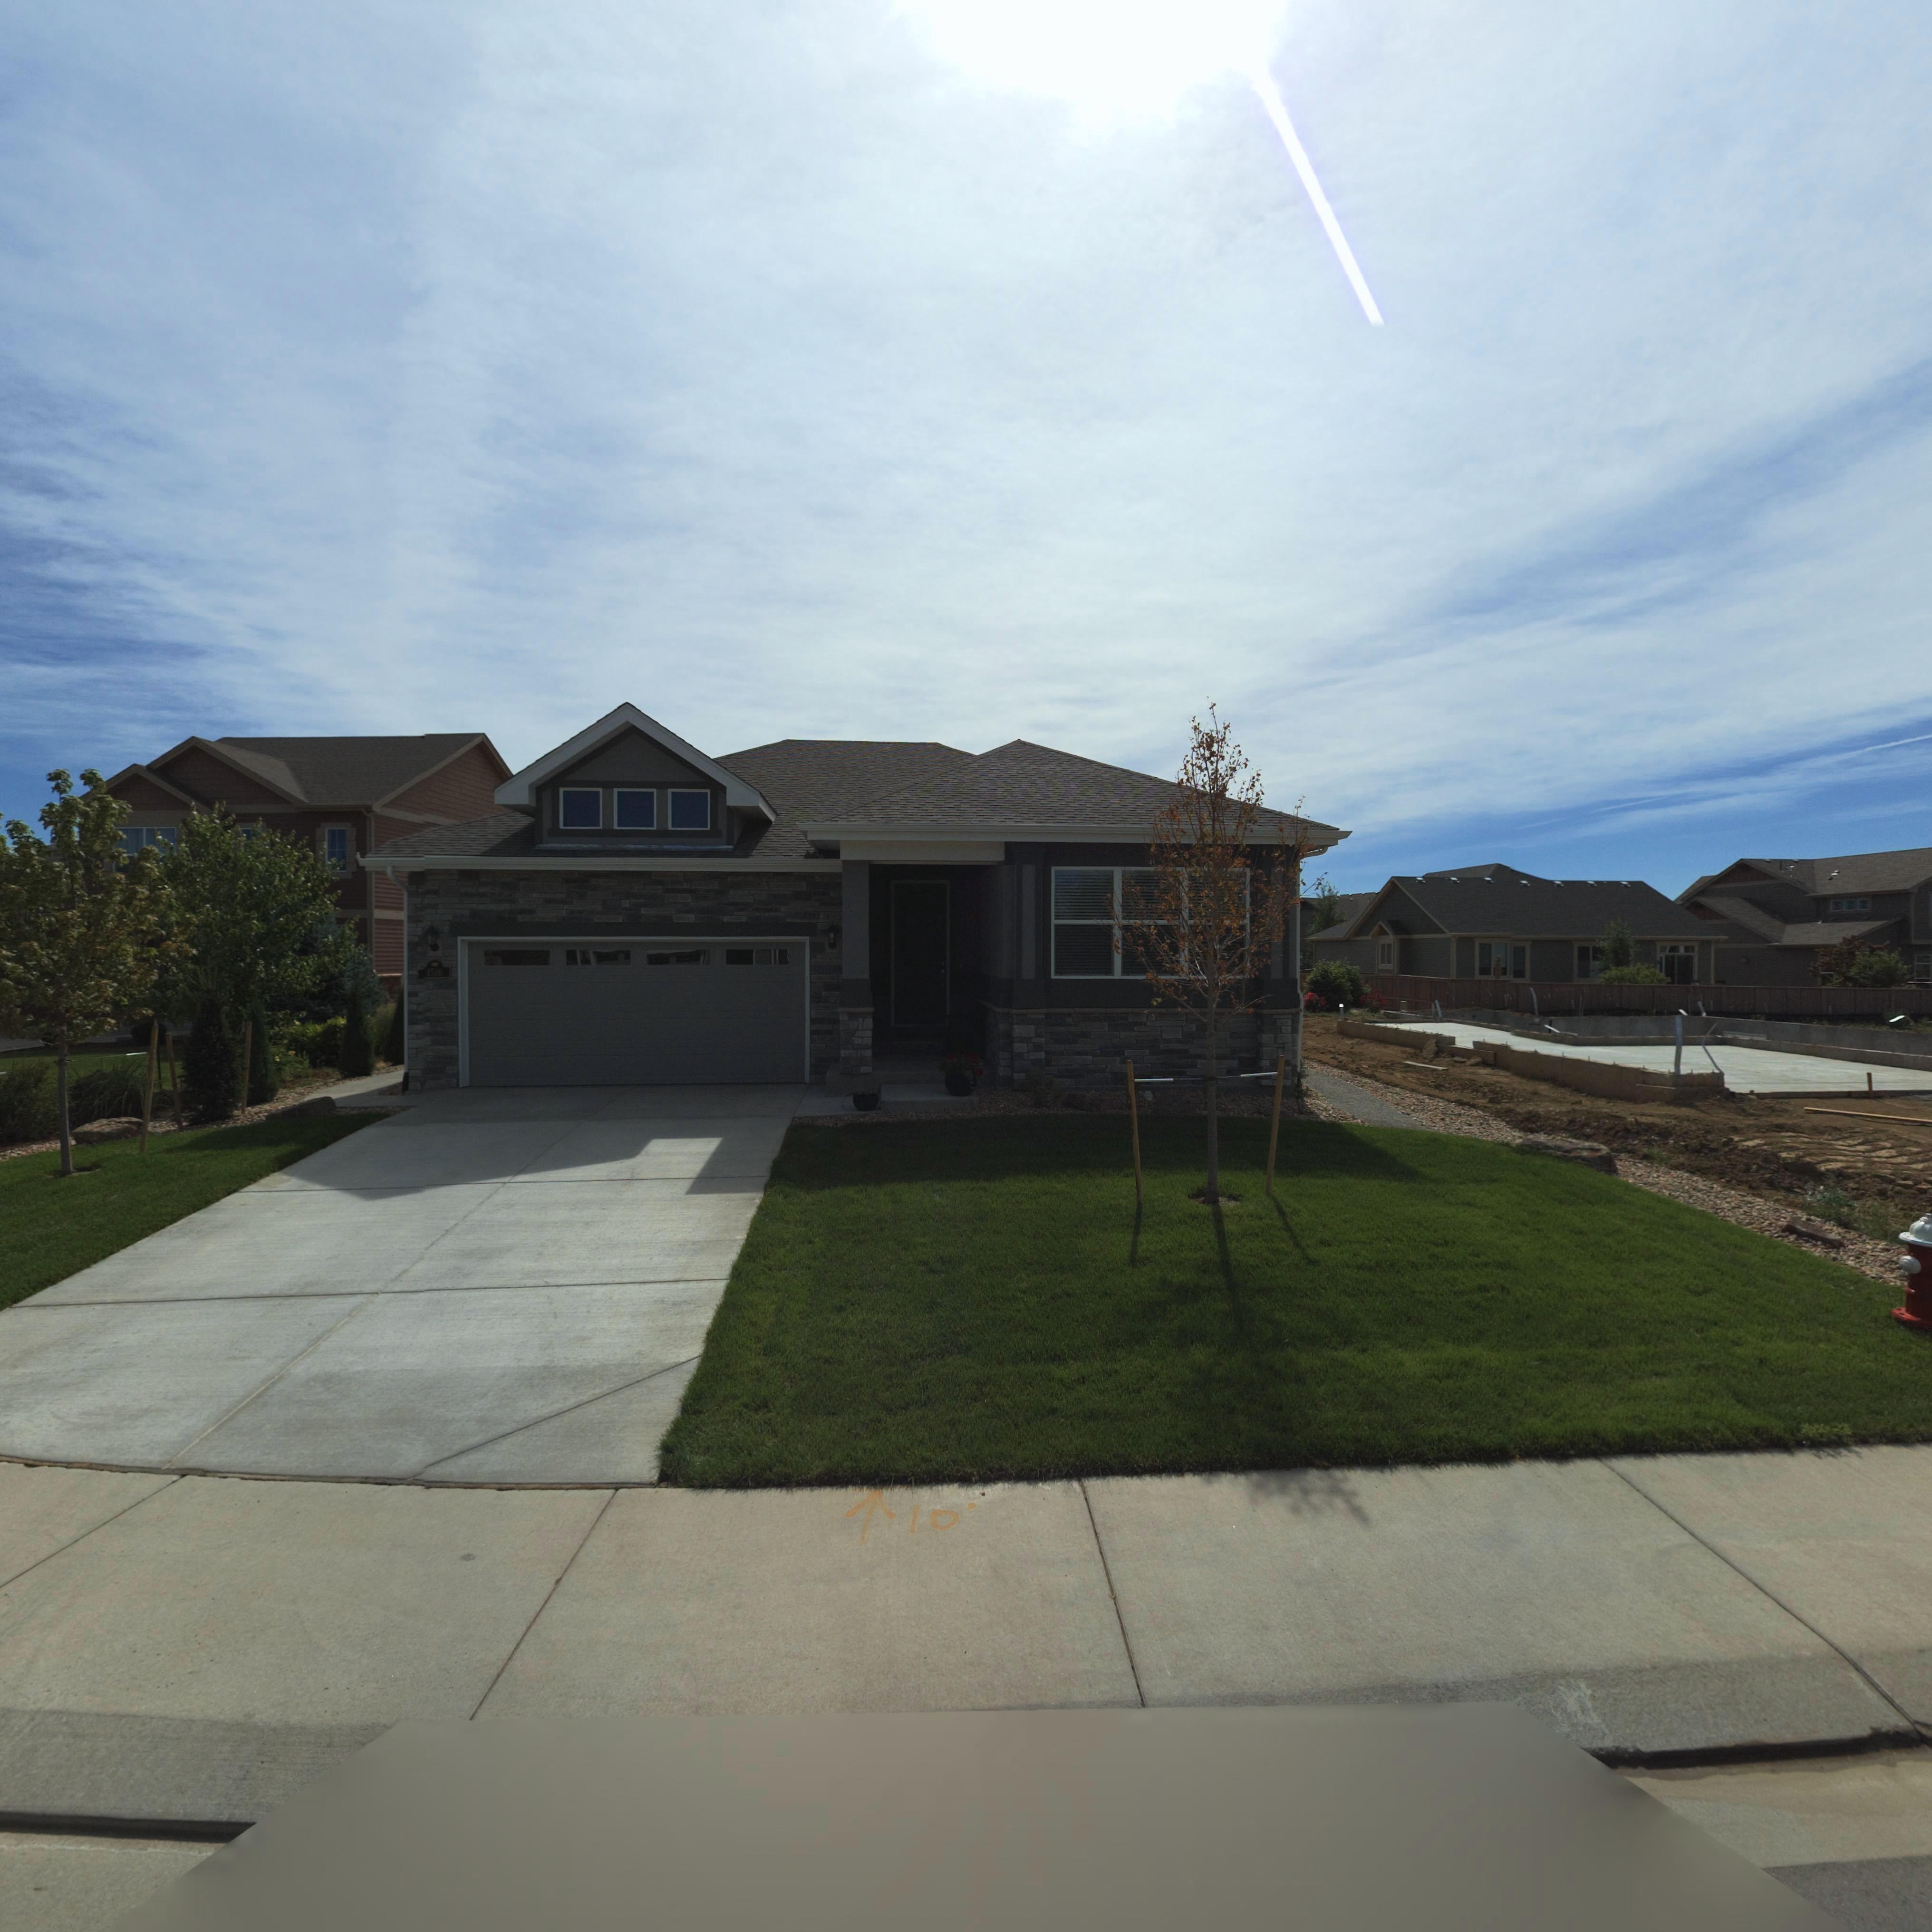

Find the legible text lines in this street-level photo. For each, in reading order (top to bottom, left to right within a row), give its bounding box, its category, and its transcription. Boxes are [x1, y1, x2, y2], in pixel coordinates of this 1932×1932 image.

[427, 967, 442, 976] StreetNumber: 15**